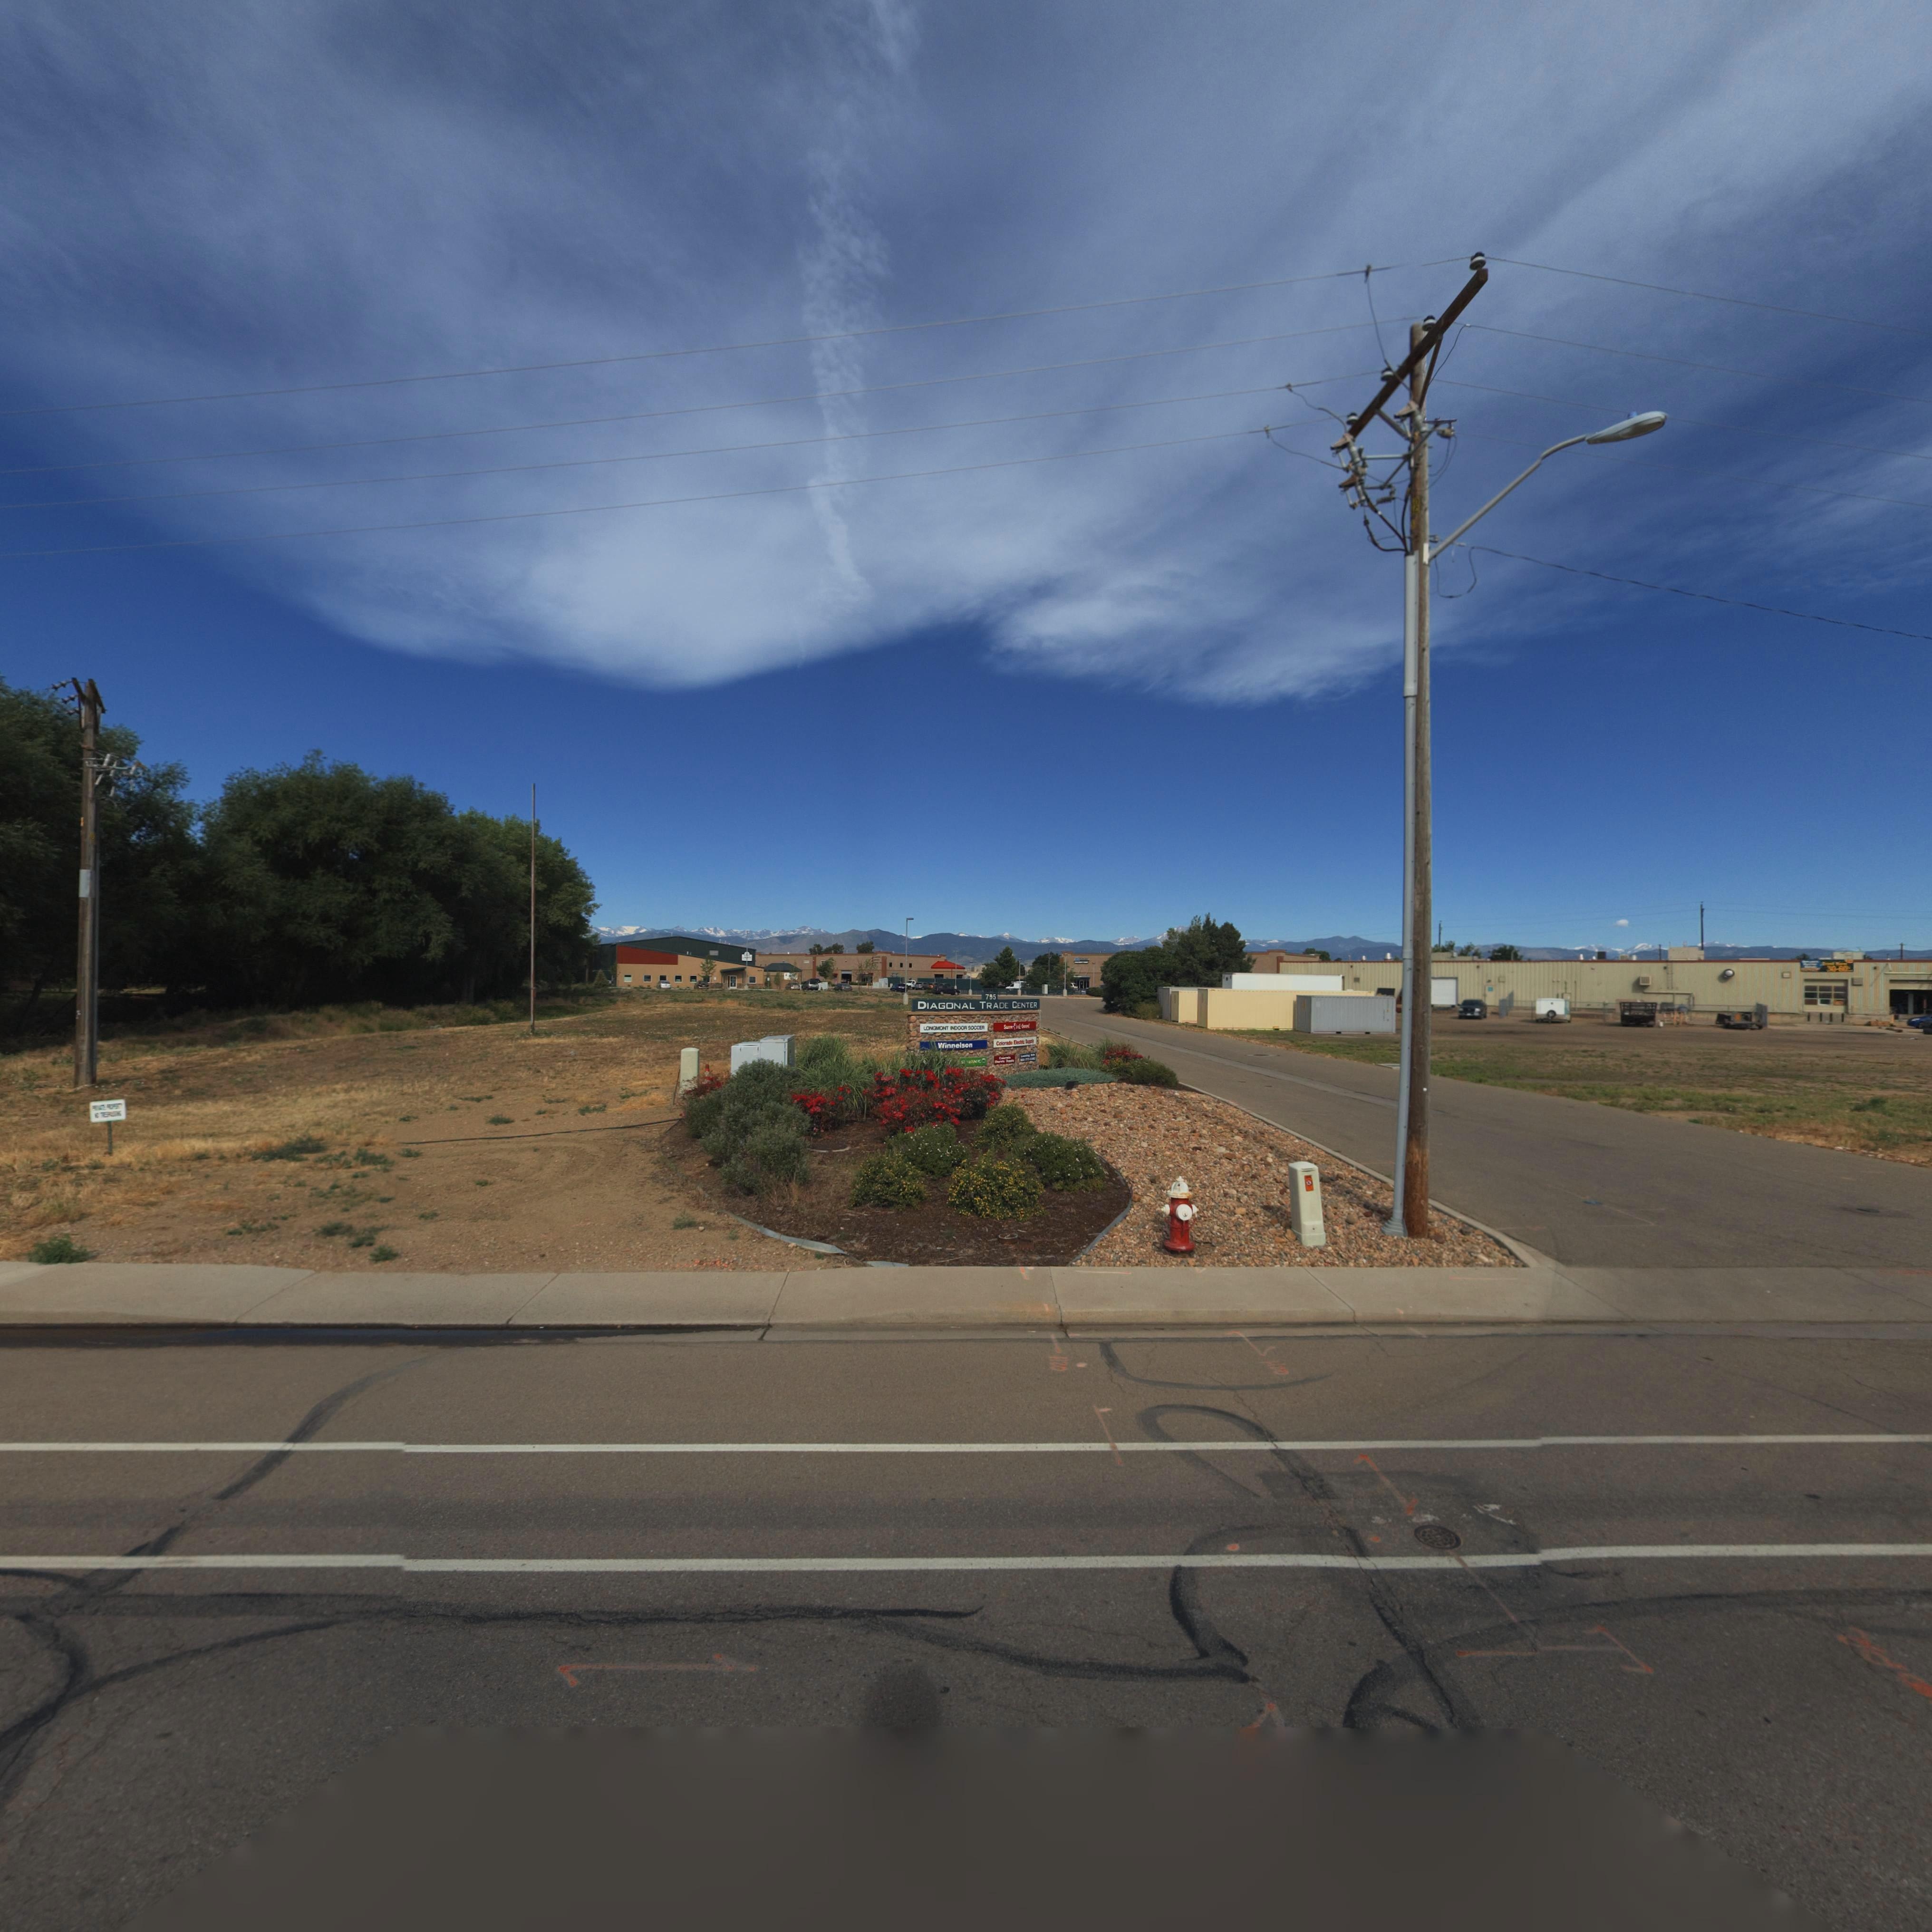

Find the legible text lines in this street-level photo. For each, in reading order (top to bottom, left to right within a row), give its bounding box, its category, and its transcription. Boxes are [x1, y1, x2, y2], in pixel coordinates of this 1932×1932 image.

[985, 993, 997, 1000] StreetNumber: 795
[917, 1000, 1037, 1009] BusinessName: DIAGONAL TRADE CENTER
[924, 1025, 985, 1030] BusinessName: LONGMONT INDOOR SOCCER
[937, 1042, 973, 1048] BusinessName: Winnelson
[996, 1038, 1034, 1046] BusinessName: Colorado Electric Supply